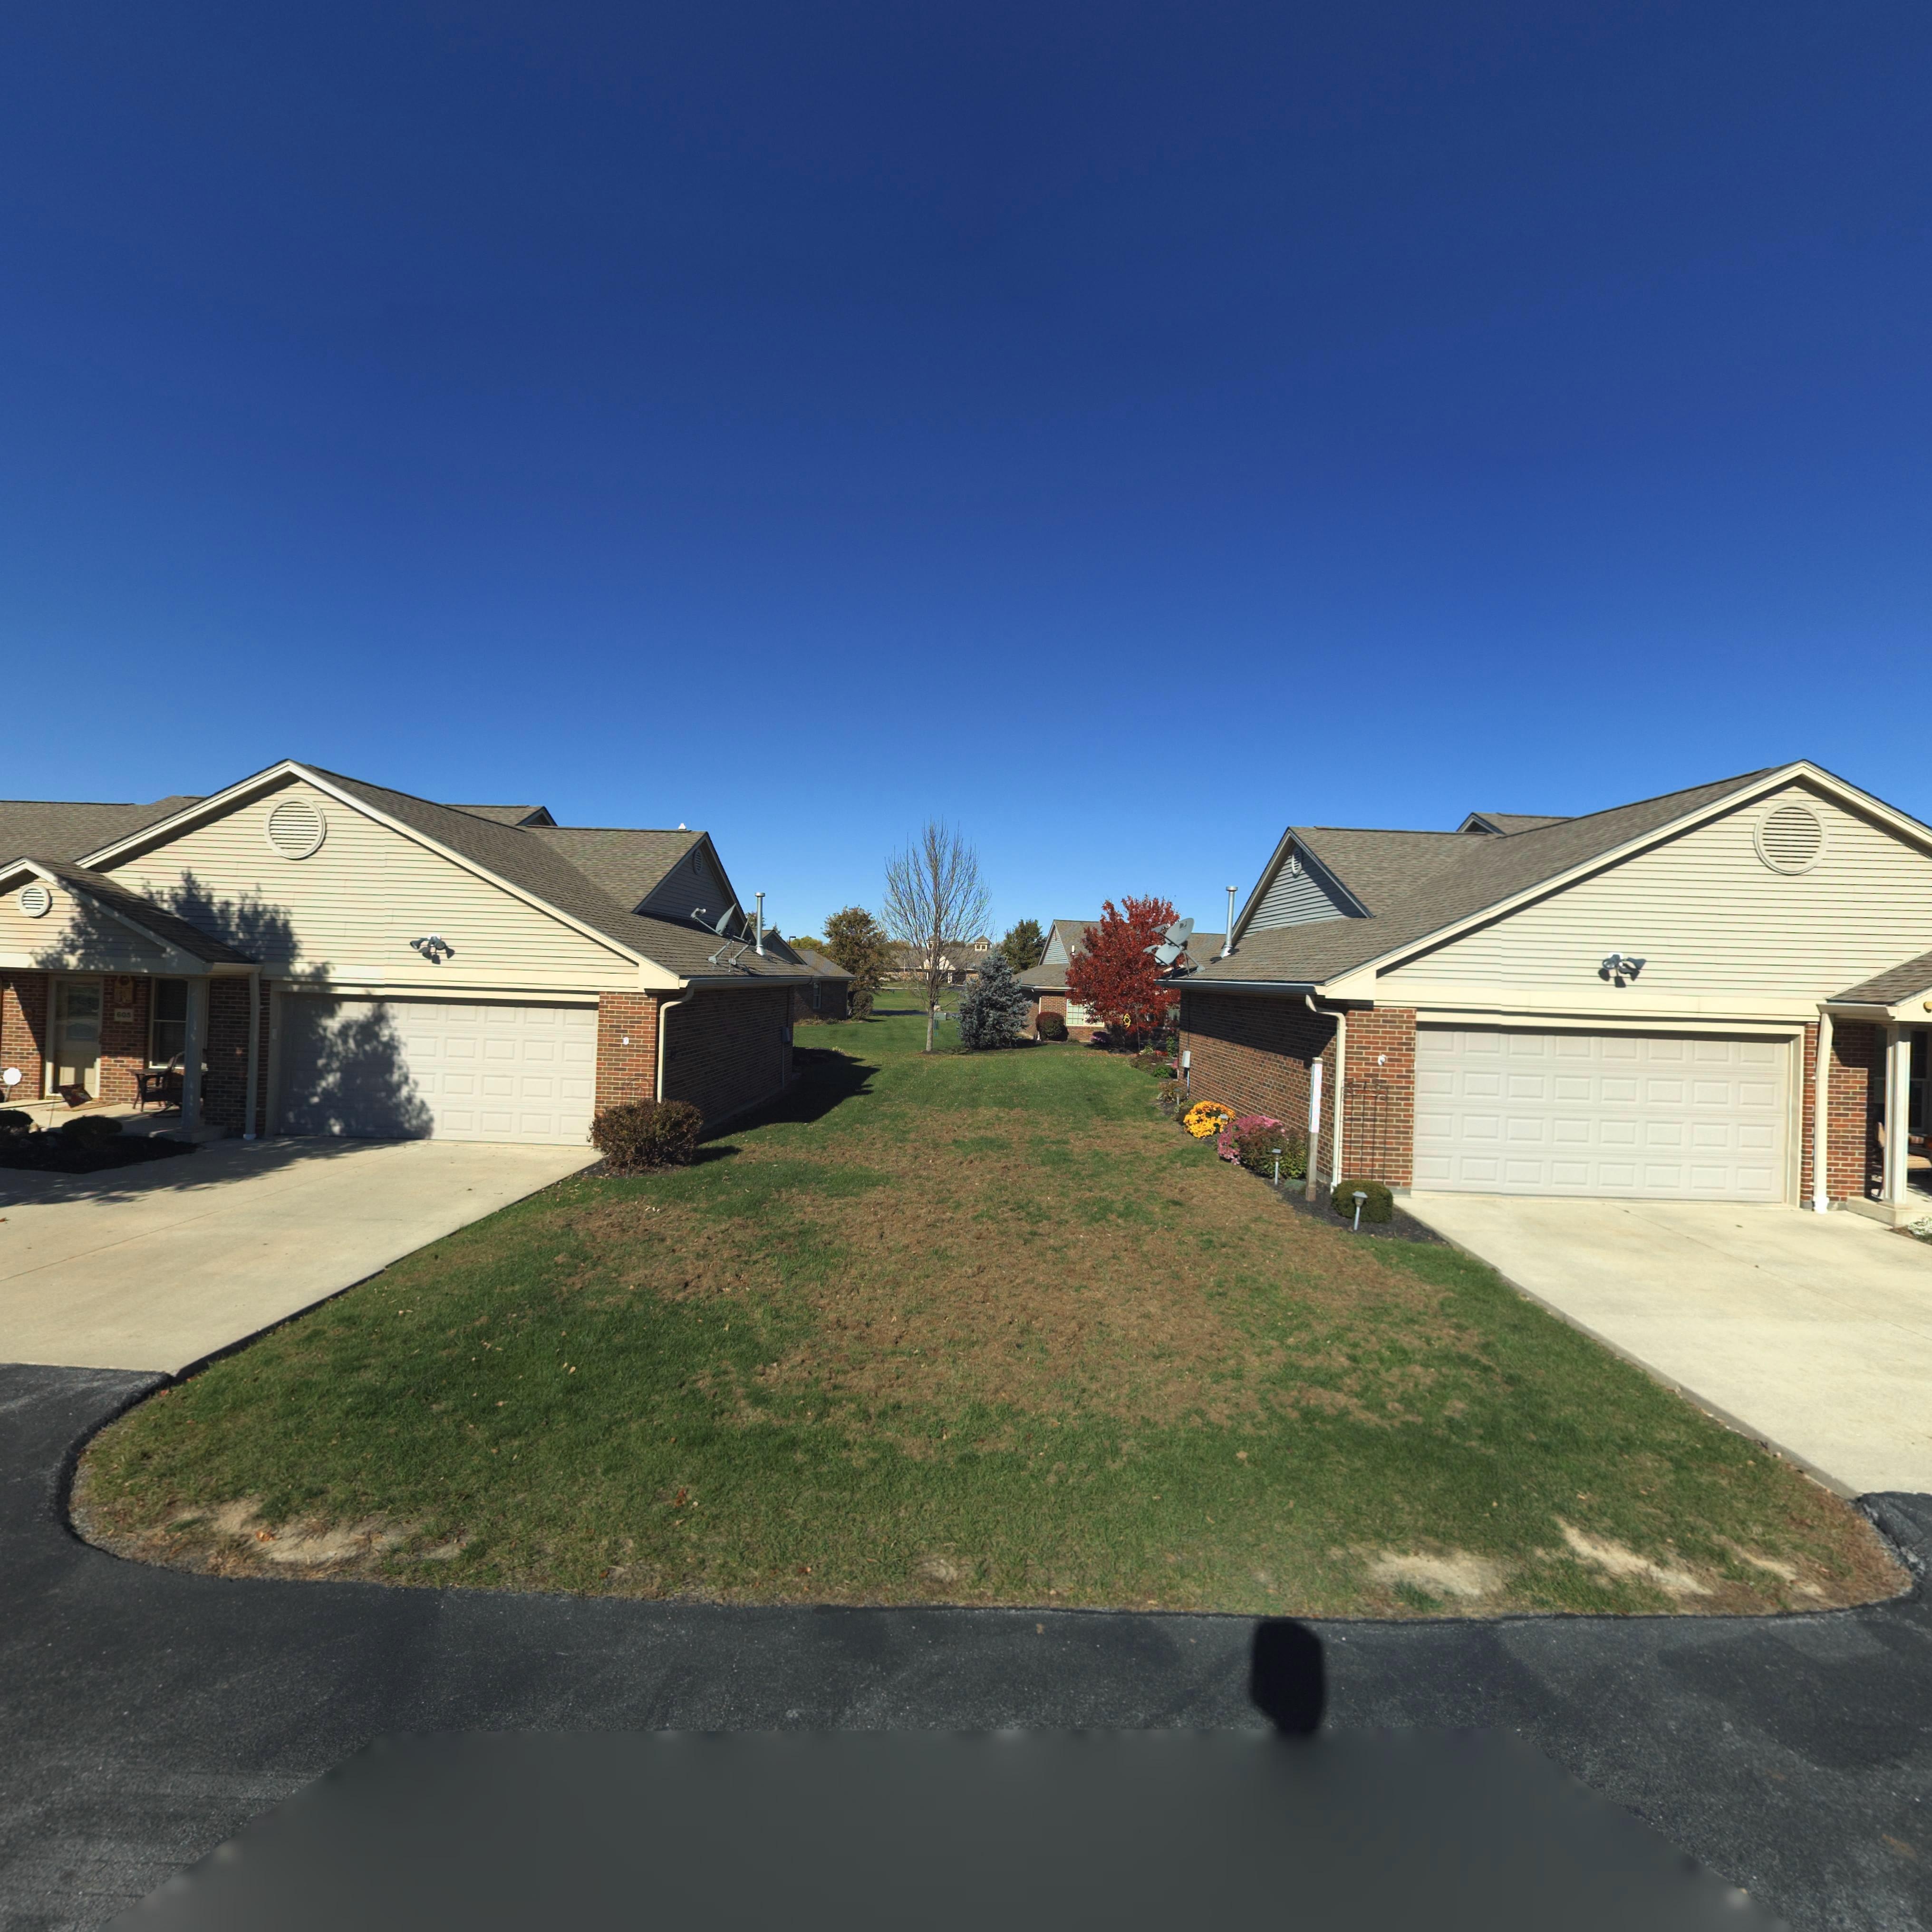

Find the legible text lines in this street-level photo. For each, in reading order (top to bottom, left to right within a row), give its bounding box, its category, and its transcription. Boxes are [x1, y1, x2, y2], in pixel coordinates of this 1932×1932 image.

[116, 1011, 132, 1018] StreetNumber: 605